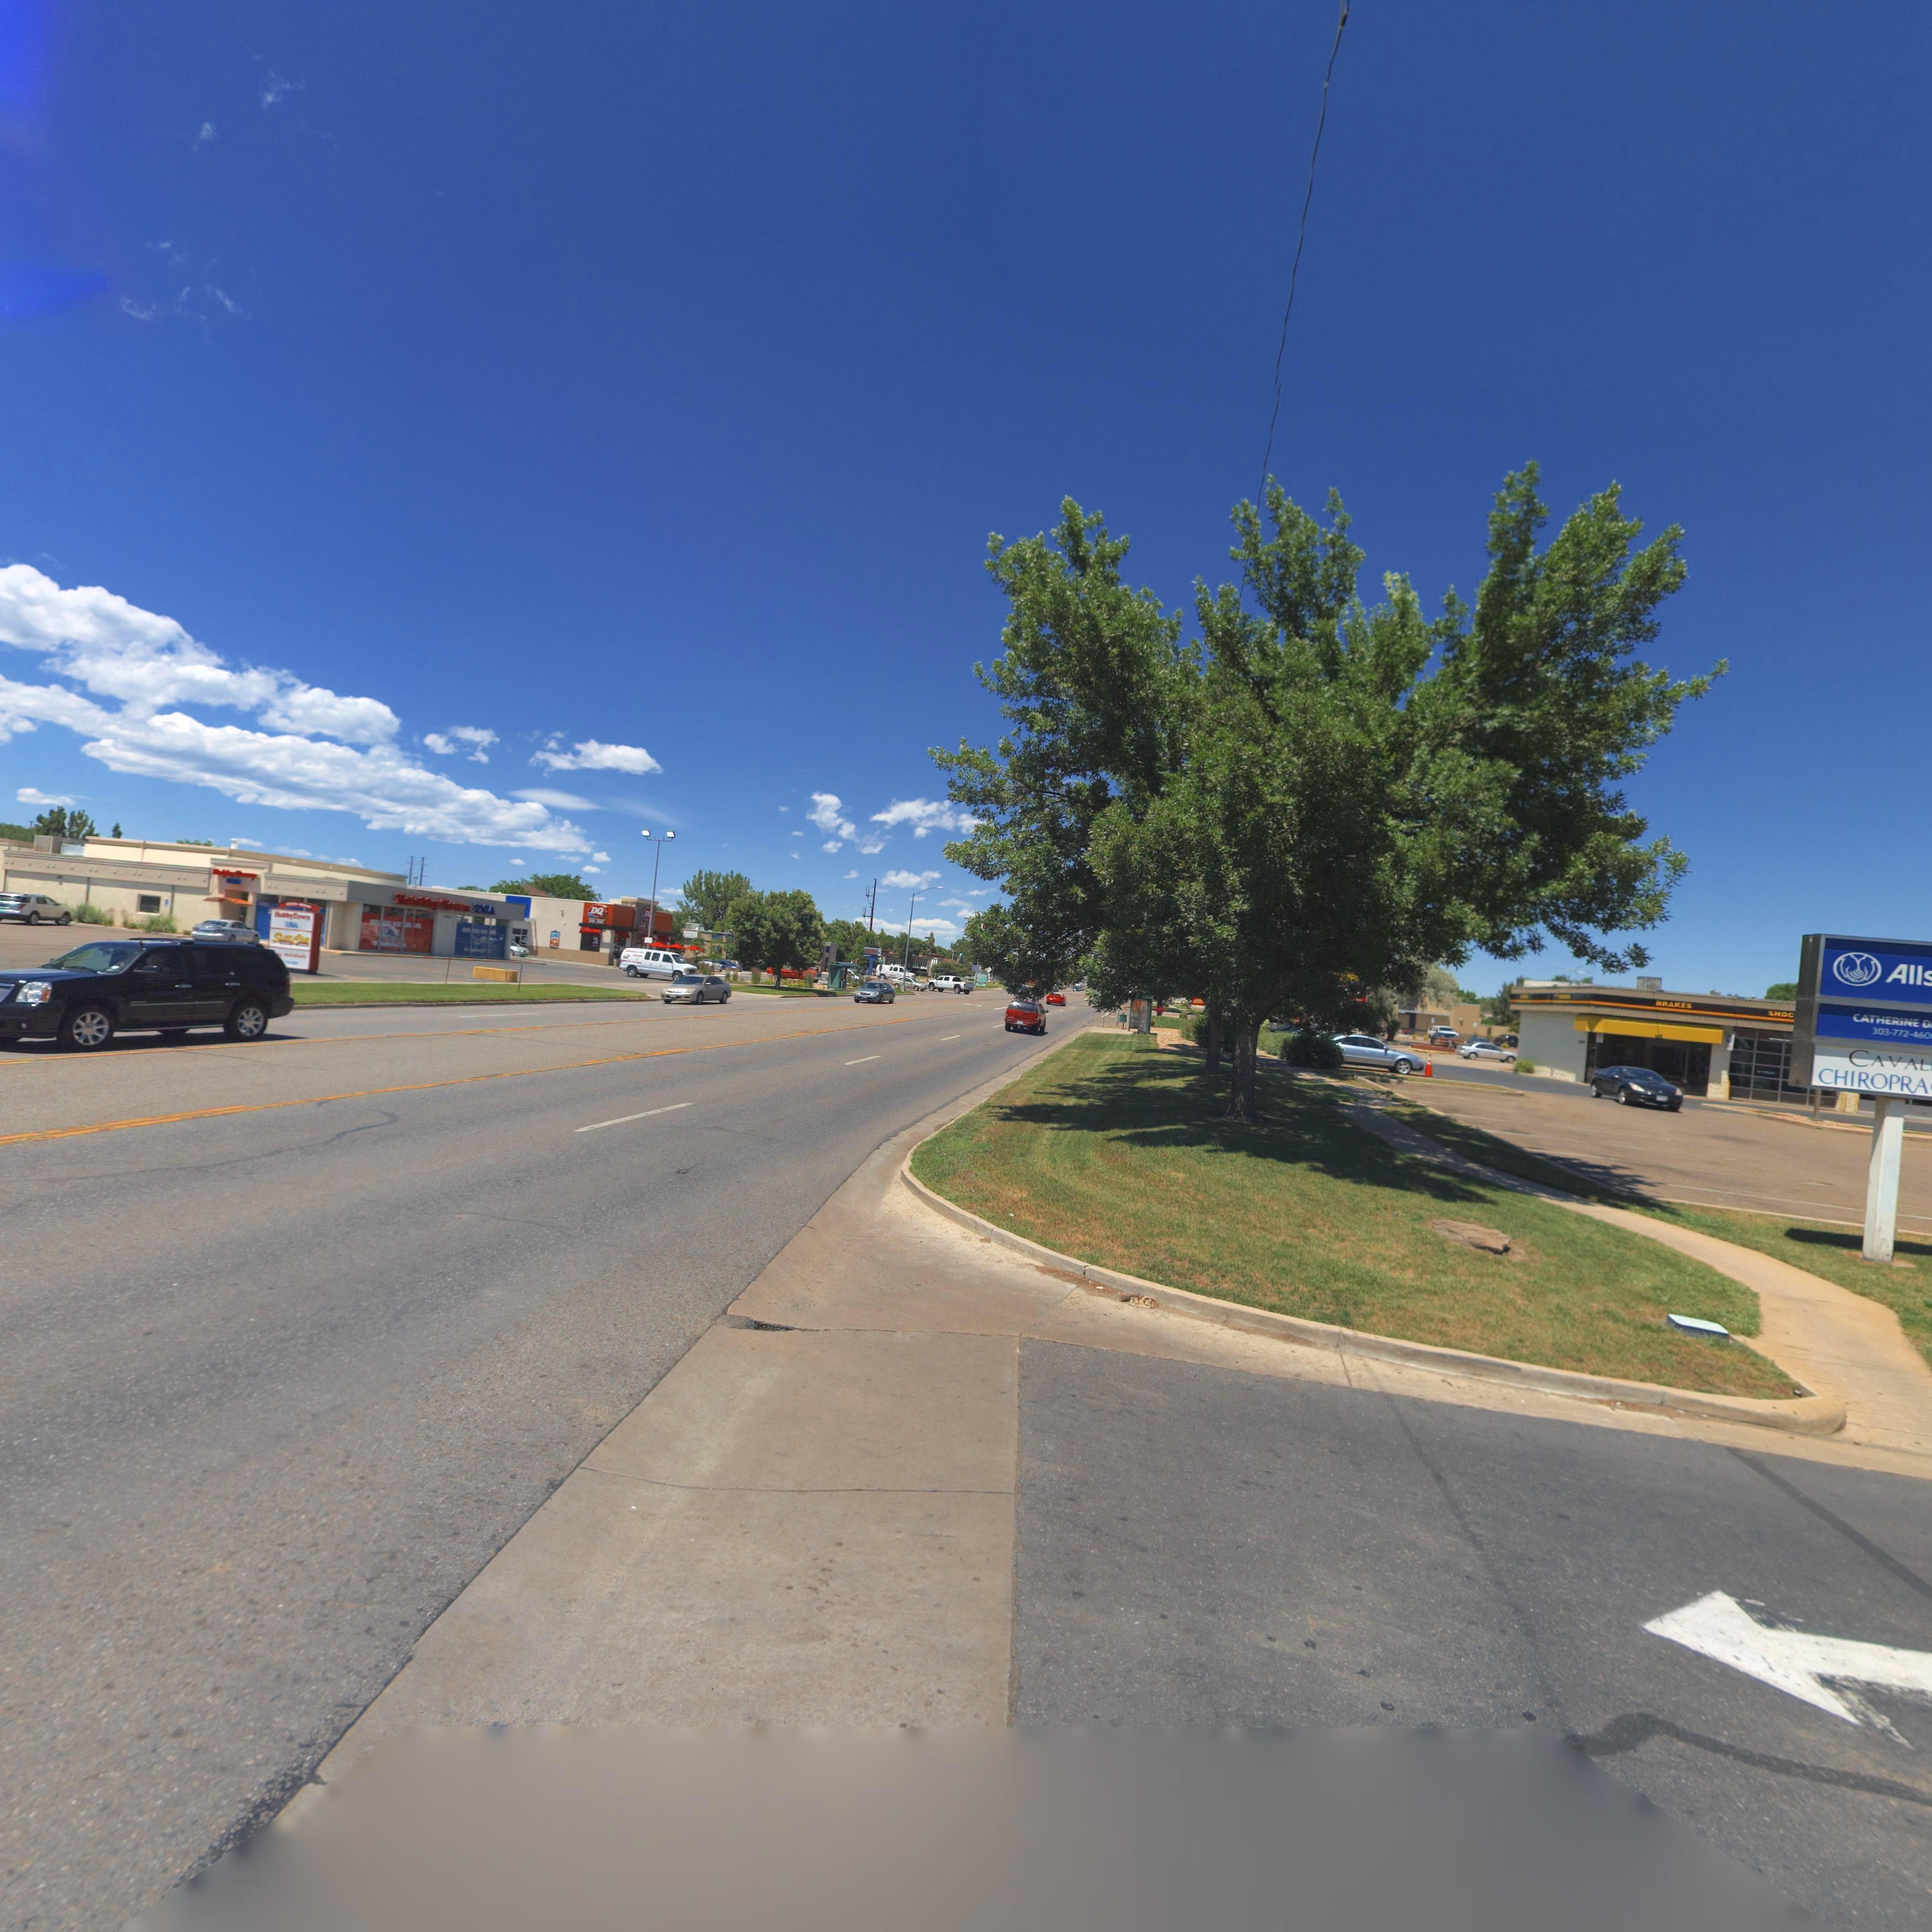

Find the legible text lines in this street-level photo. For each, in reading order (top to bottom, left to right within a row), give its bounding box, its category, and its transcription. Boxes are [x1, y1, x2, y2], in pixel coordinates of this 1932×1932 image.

[212, 868, 257, 880] BusinessName: **bbyT***
[225, 876, 241, 885] BusinessName: U*A
[393, 891, 497, 915] BusinessName: Hobby Town USA
[274, 910, 310, 920] BusinessName: Hobby Town
[590, 906, 604, 916] BusinessName: DQ
[644, 909, 651, 918] BusinessName: D*
[285, 920, 298, 928] BusinessName: USA
[271, 931, 309, 945] BusinessName: S*O* C**
[372, 940, 406, 948] BusinessName: H***y**** U*A
[463, 947, 492, 954] BusinessName: H****T*** **A
[283, 952, 307, 959] BusinessName: A******y
[1883, 963, 1924, 985] BusinessName: All
[1849, 1049, 1930, 1072] BusinessName: CAVAL
[1817, 1067, 1930, 1094] BusinessName: CHIROPRA